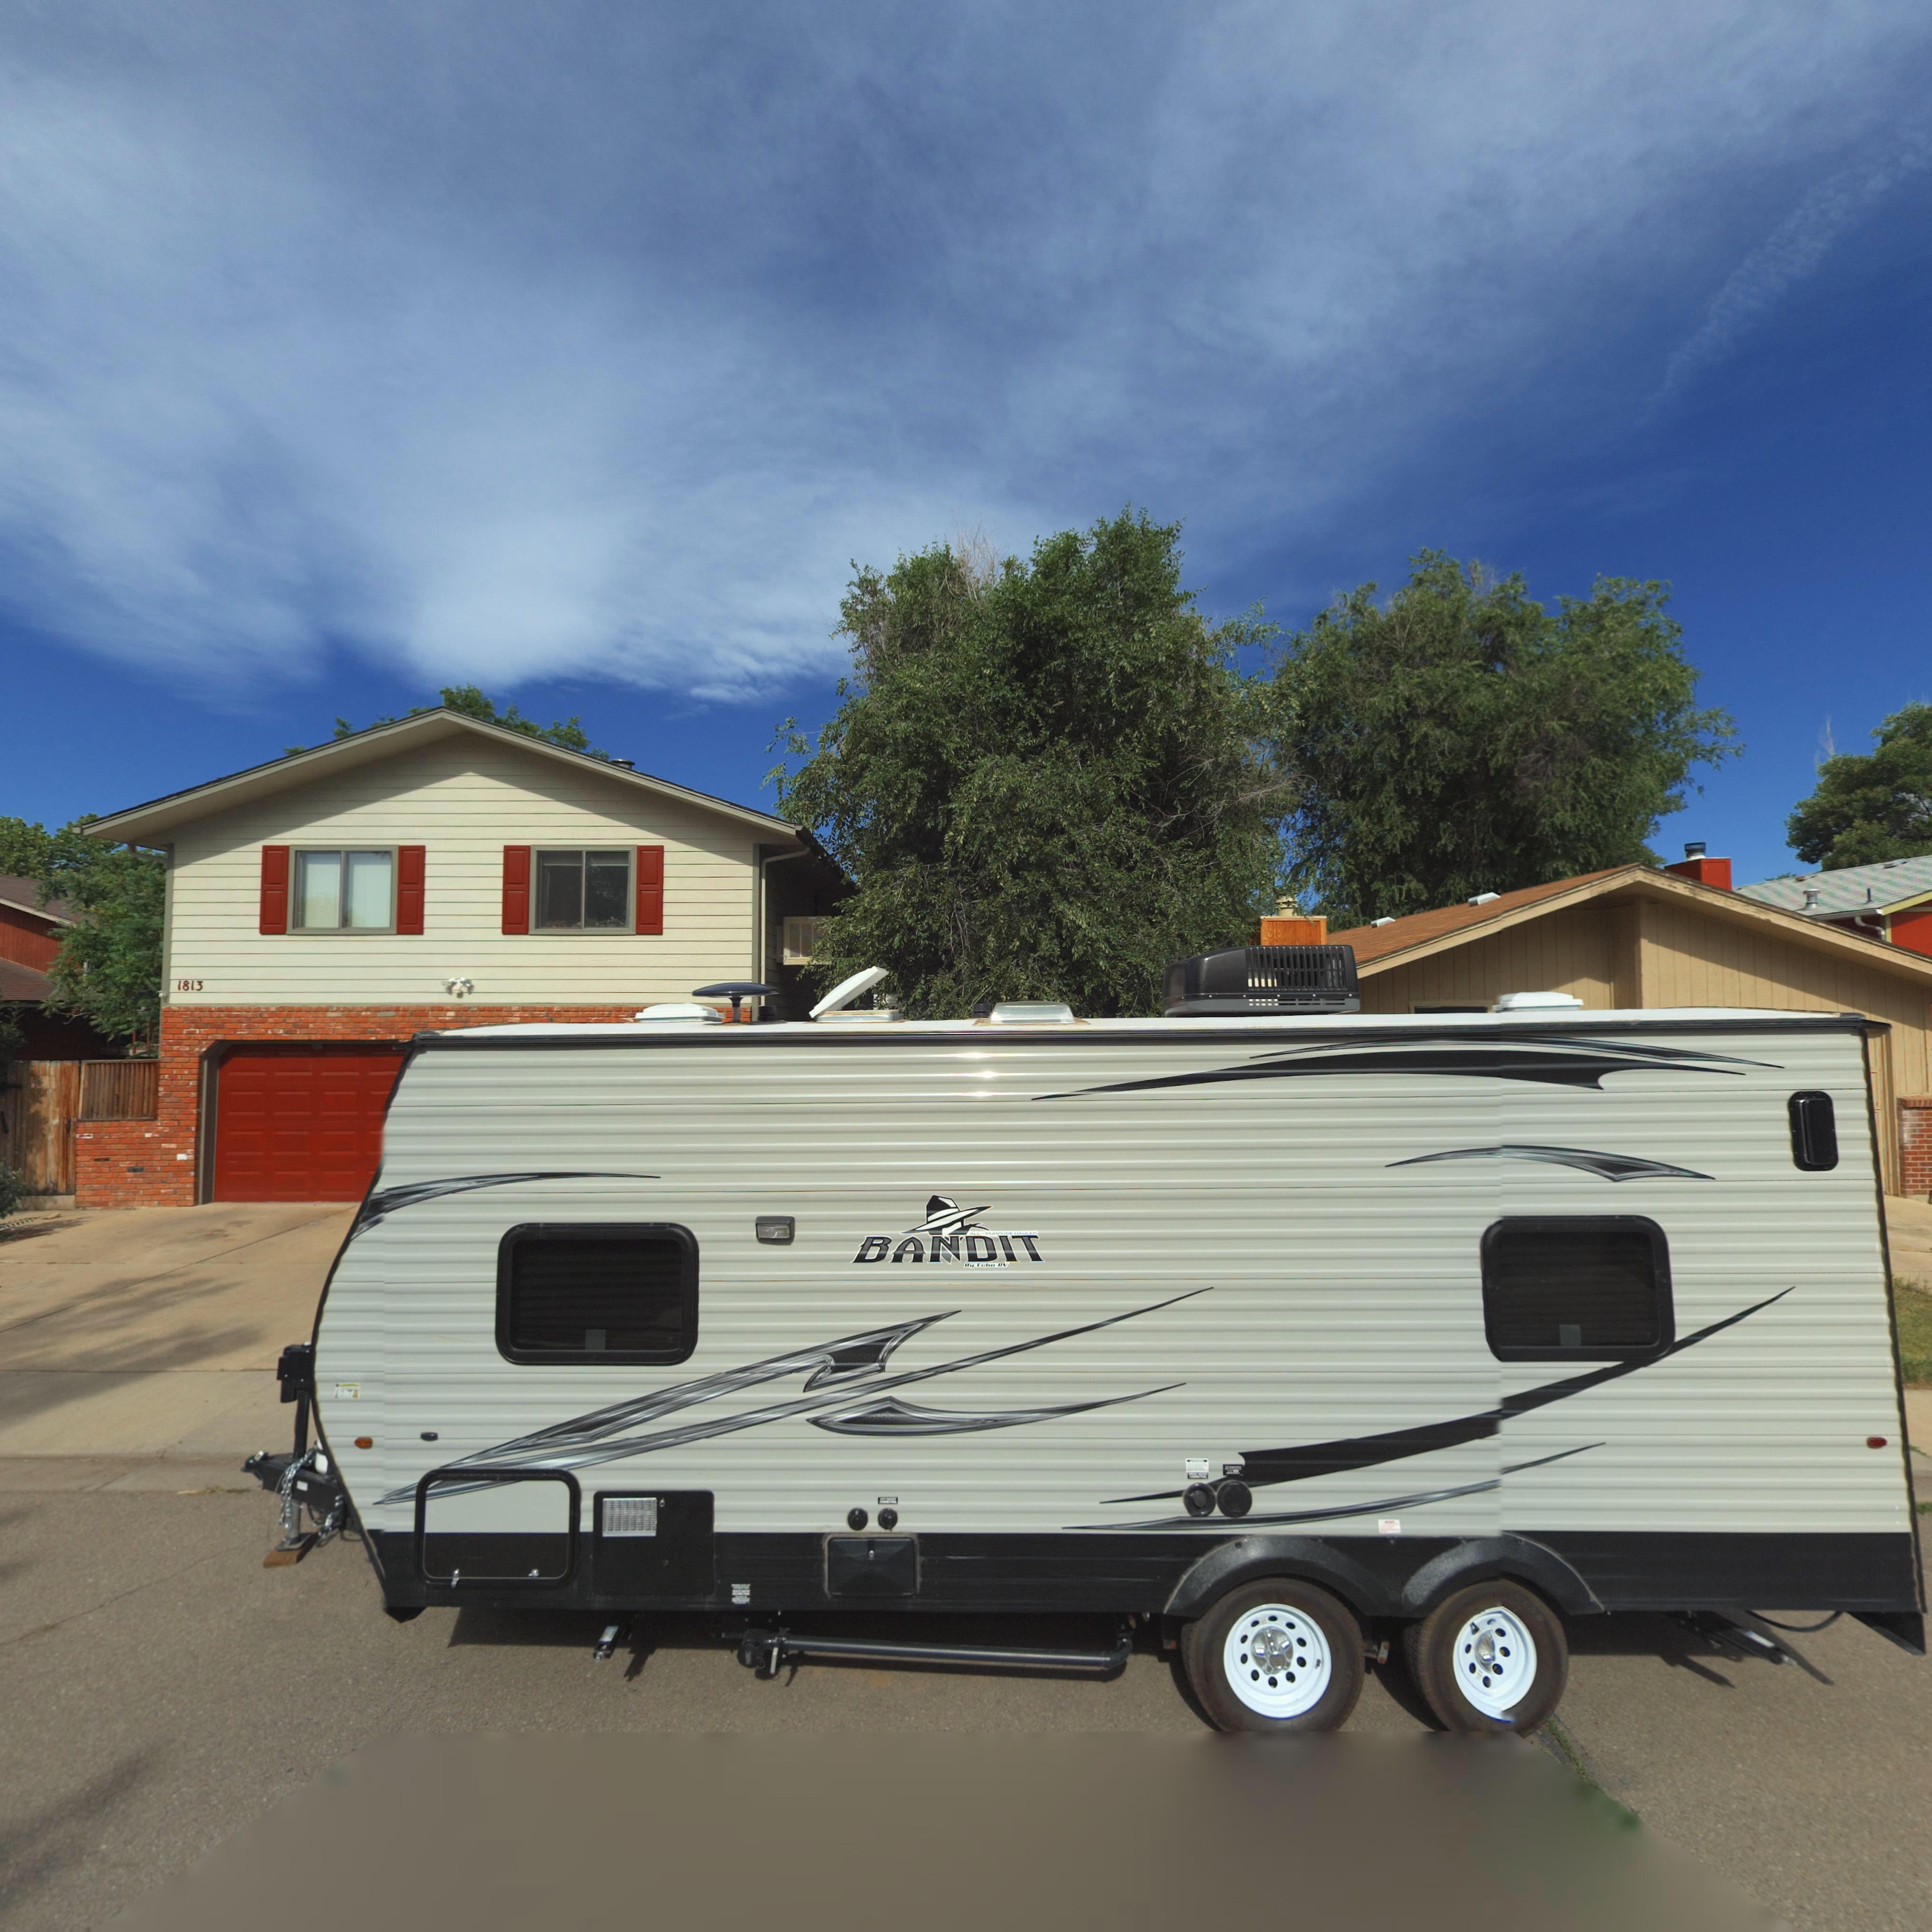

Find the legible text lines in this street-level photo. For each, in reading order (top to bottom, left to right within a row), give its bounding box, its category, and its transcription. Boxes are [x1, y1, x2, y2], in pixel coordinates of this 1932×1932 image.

[178, 979, 203, 991] StreetNumber: 1813